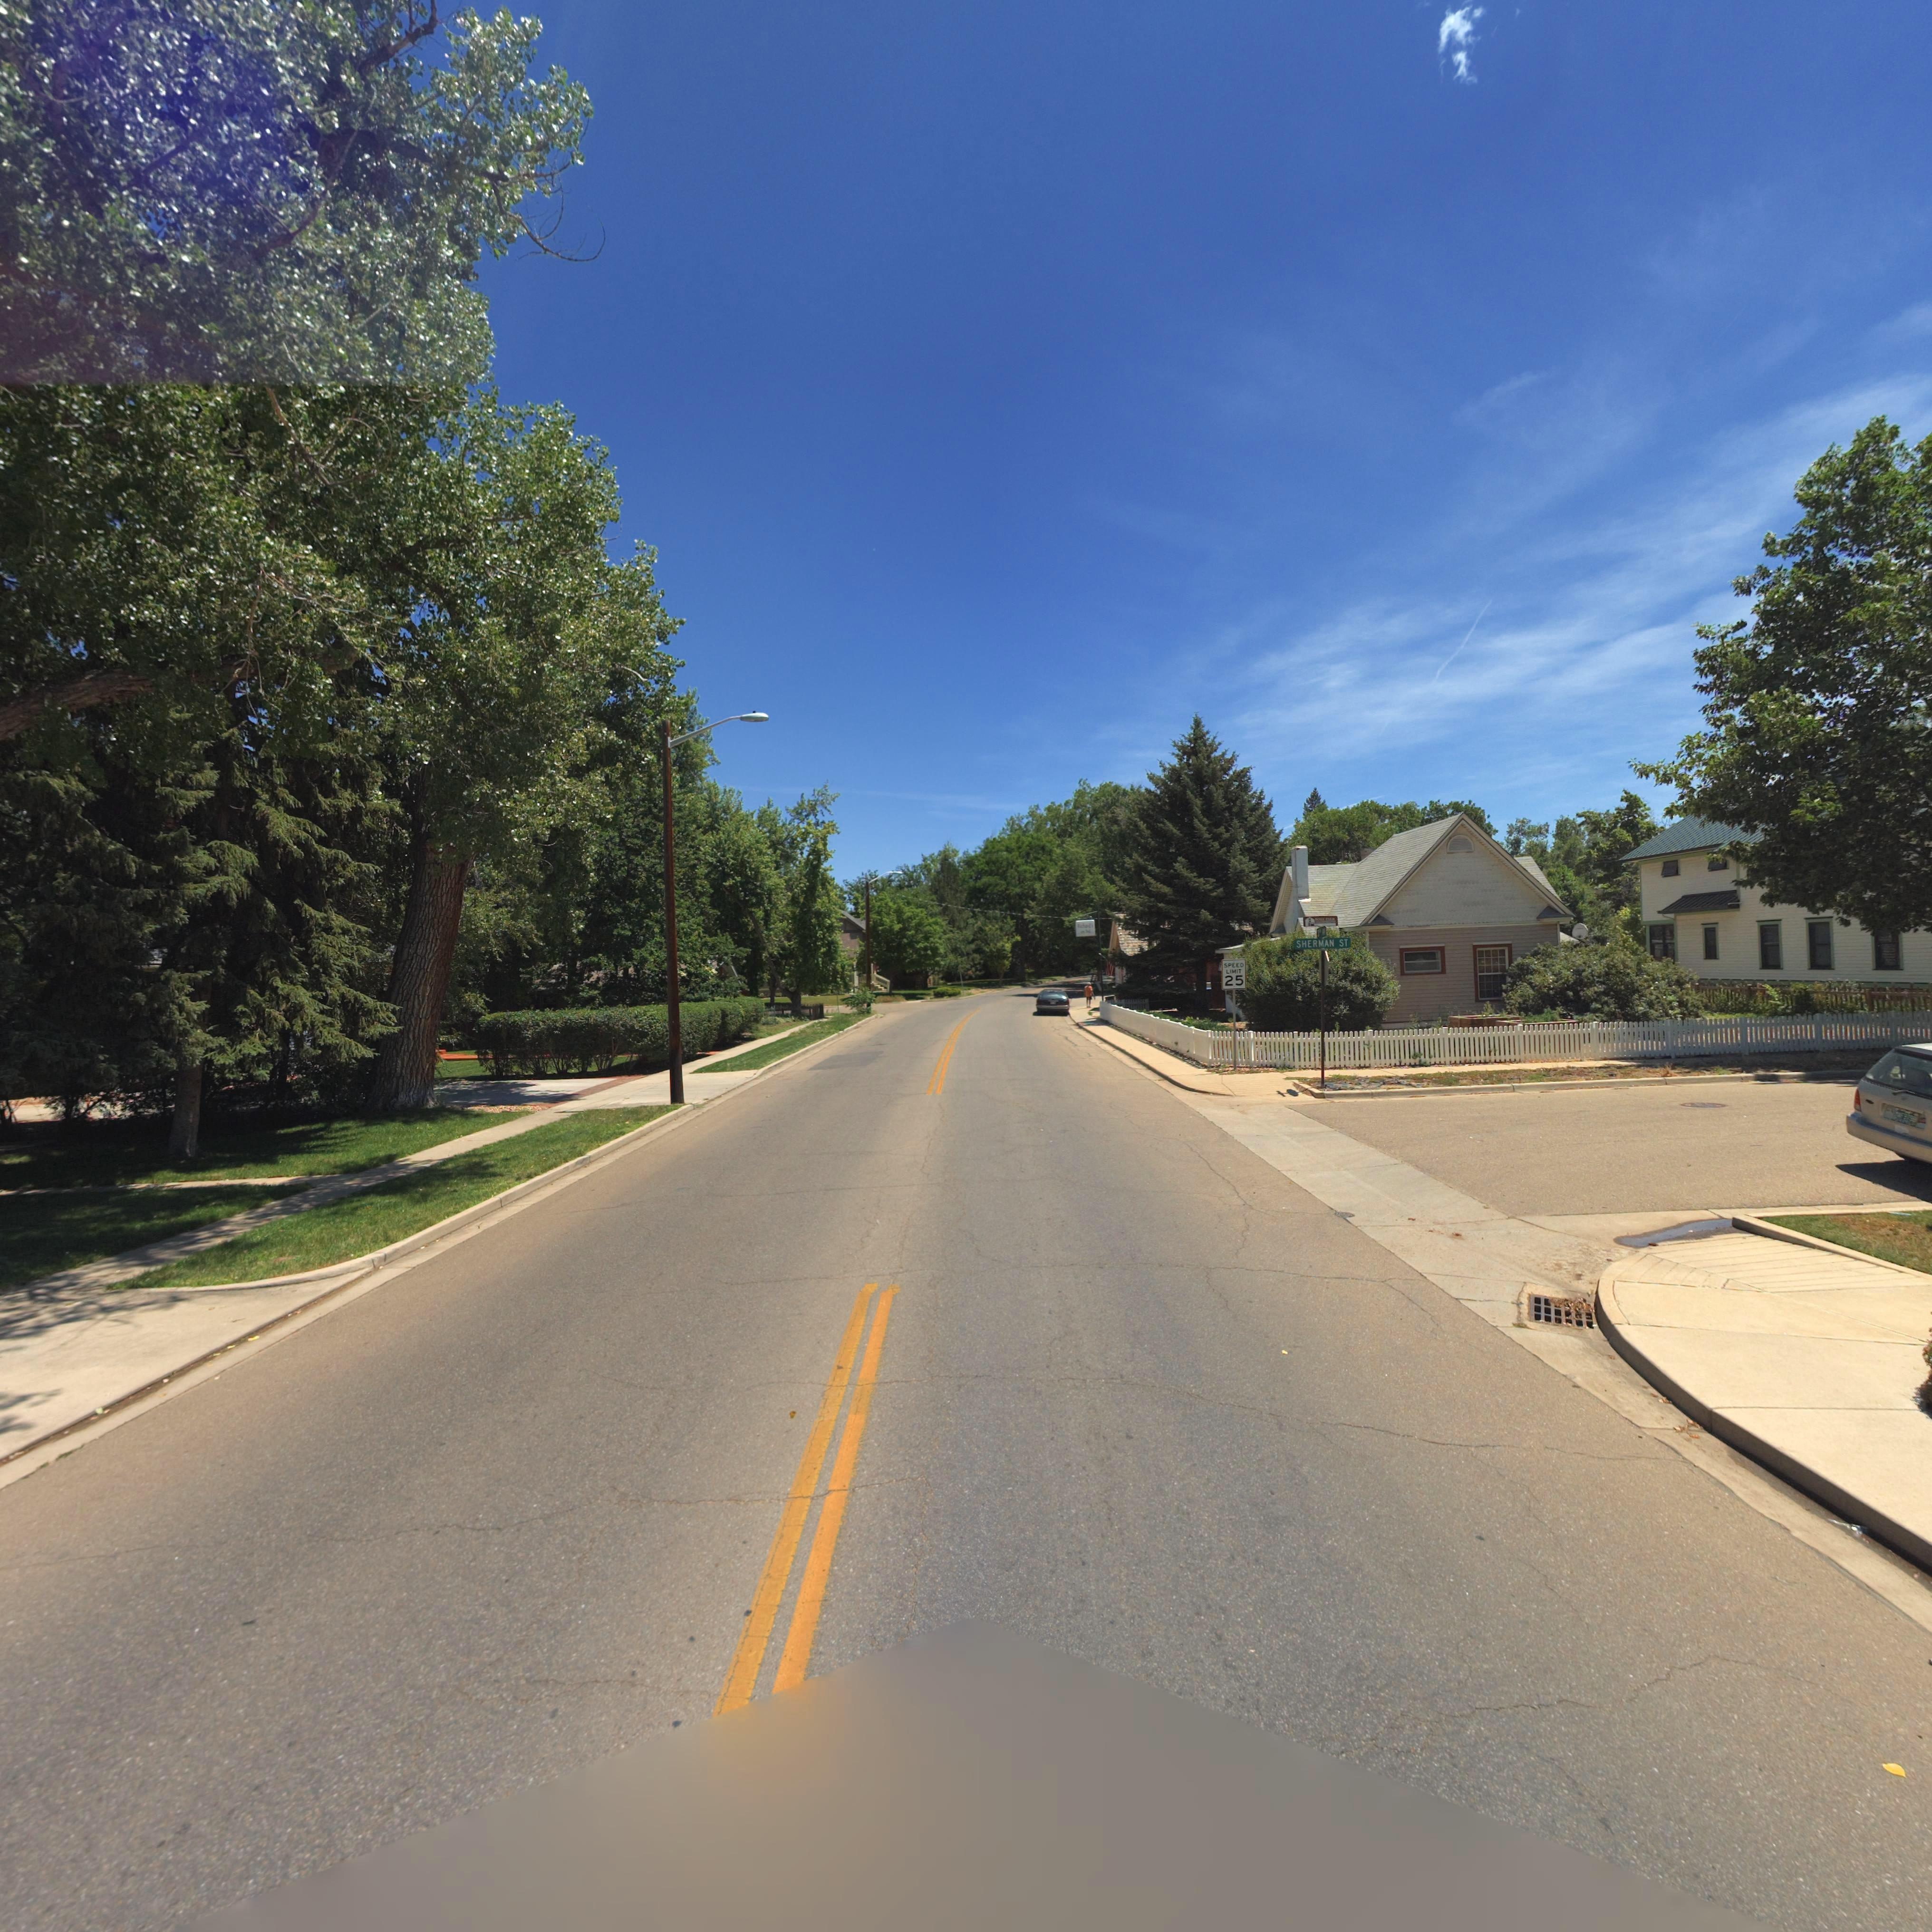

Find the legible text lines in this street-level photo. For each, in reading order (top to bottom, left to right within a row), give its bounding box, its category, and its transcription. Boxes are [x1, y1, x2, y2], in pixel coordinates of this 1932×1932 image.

[1317, 927, 1325, 937] StreetName: 3** **
[1296, 939, 1348, 948] StreetName: SHERMAN ST